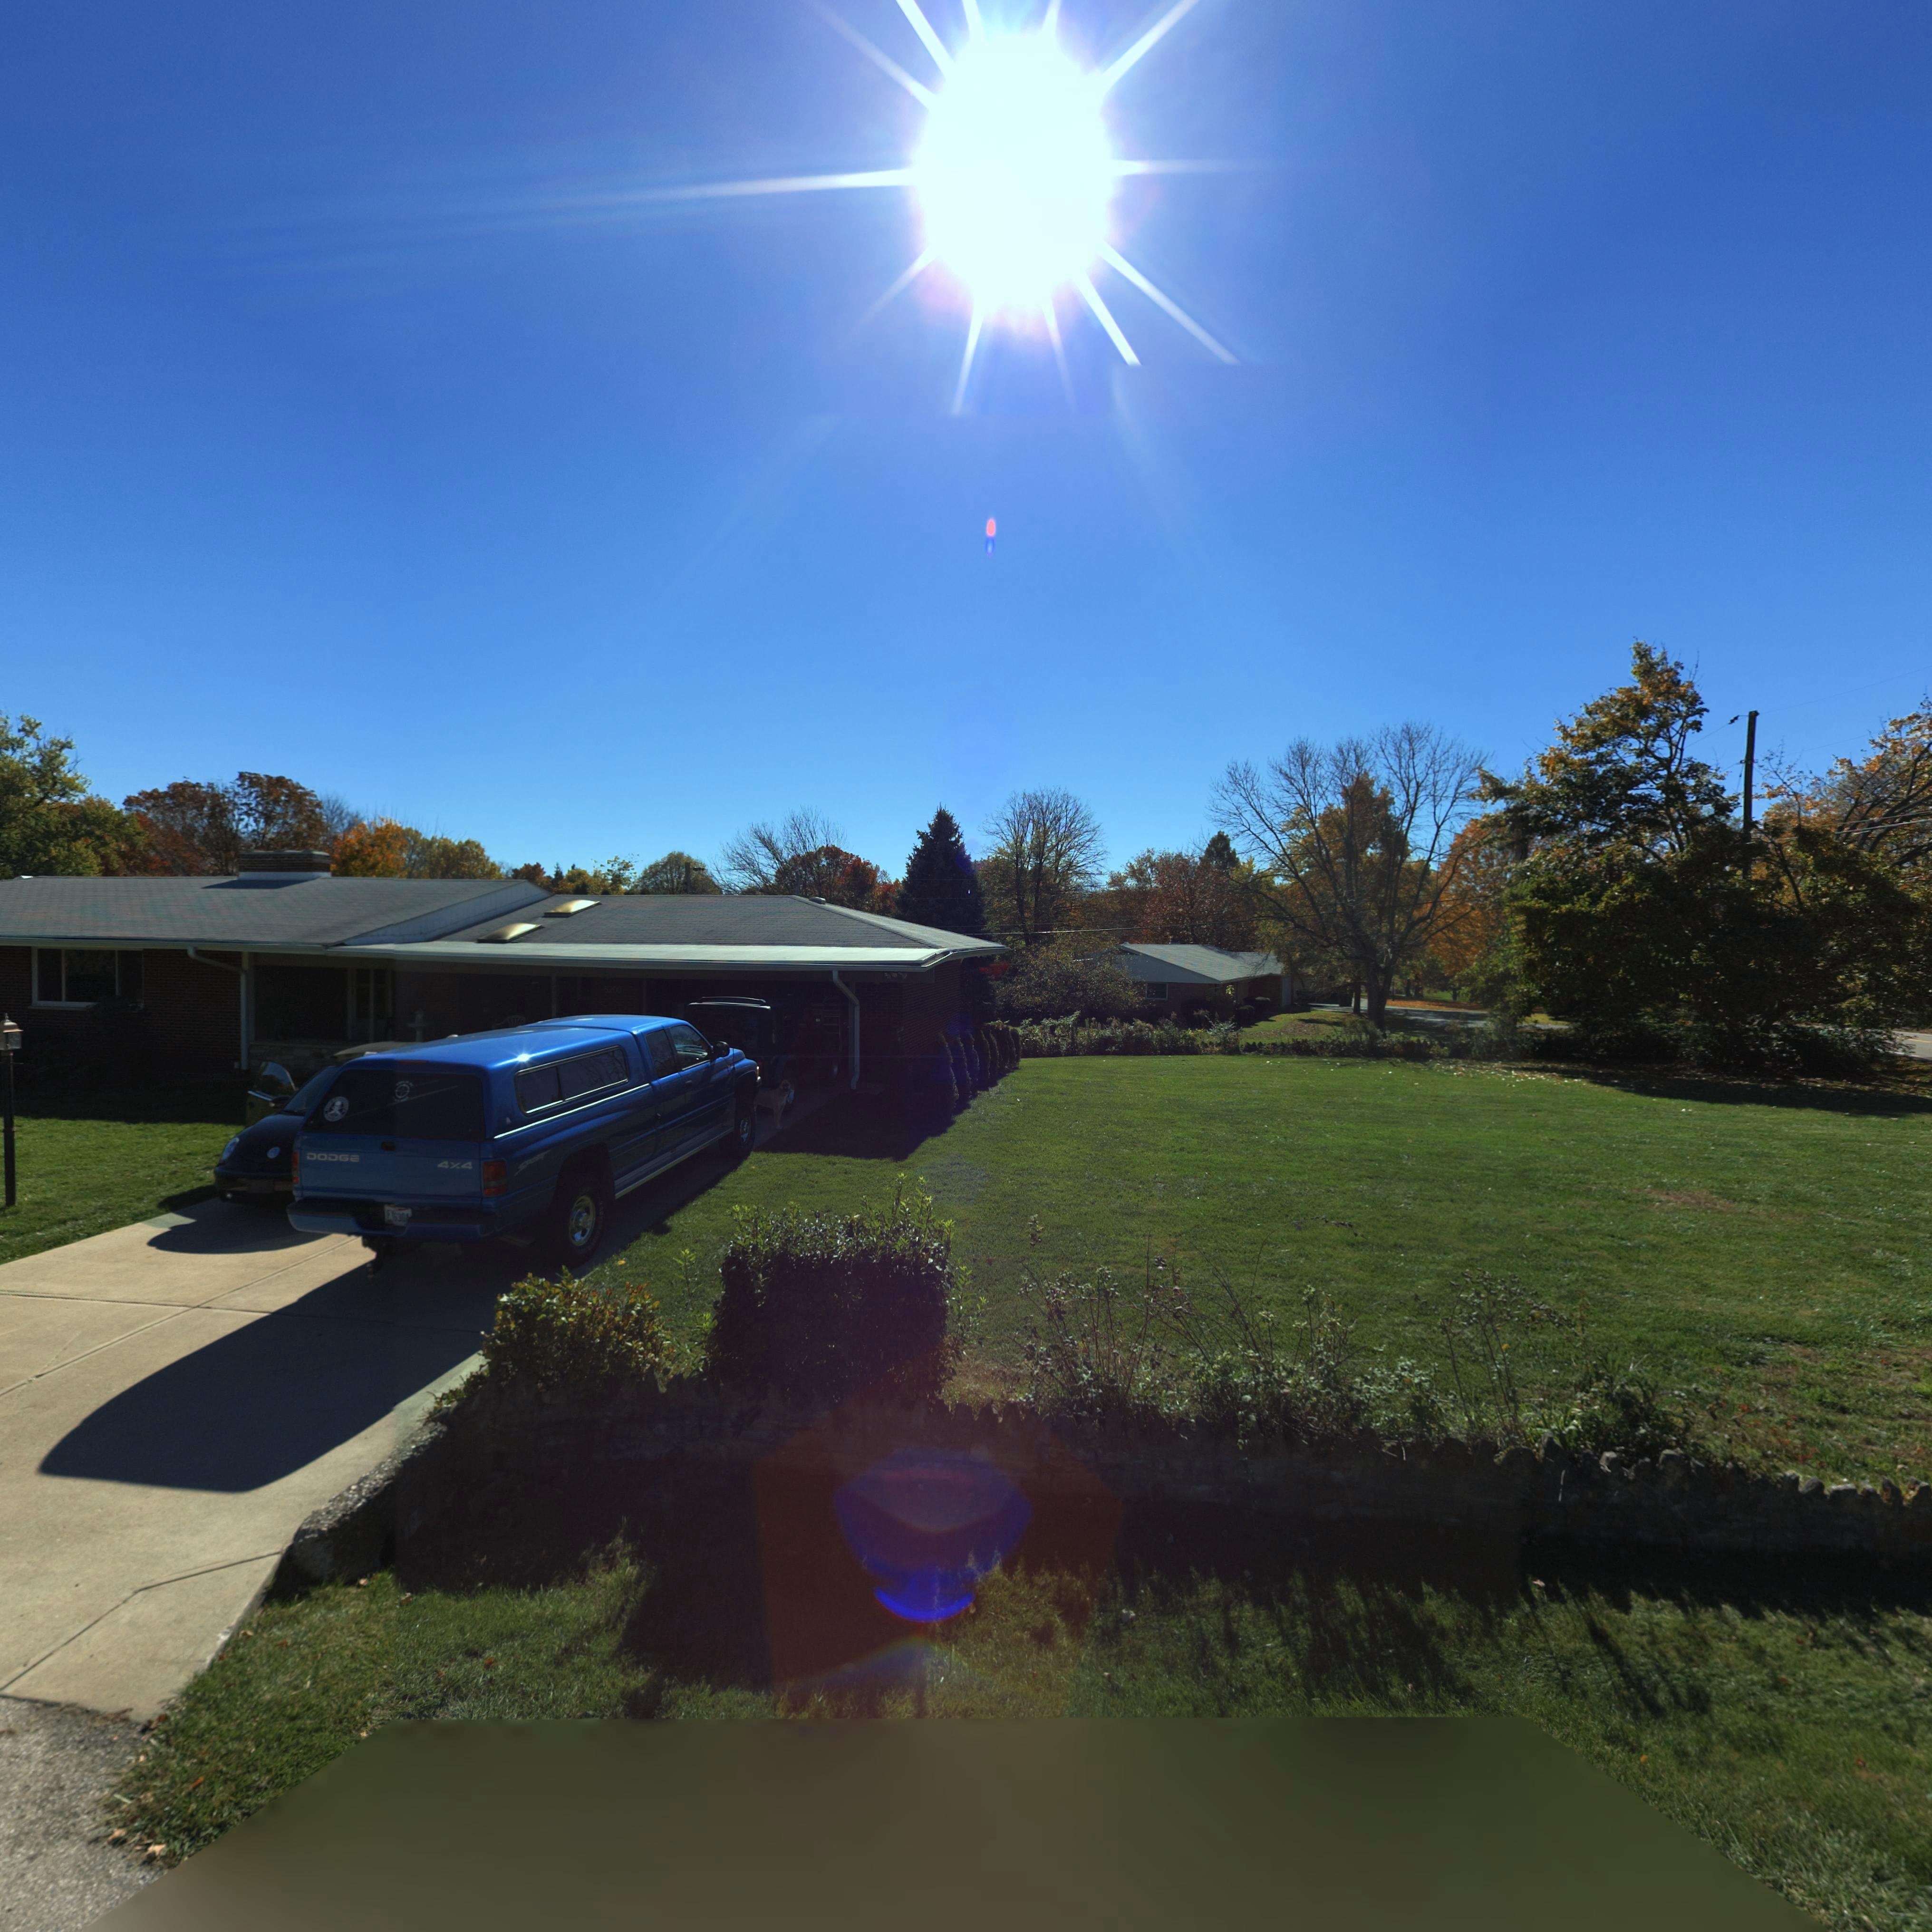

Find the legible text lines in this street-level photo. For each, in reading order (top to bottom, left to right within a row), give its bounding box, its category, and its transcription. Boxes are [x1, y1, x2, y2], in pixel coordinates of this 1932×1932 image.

[603, 985, 623, 995] StreetNumber: 5200